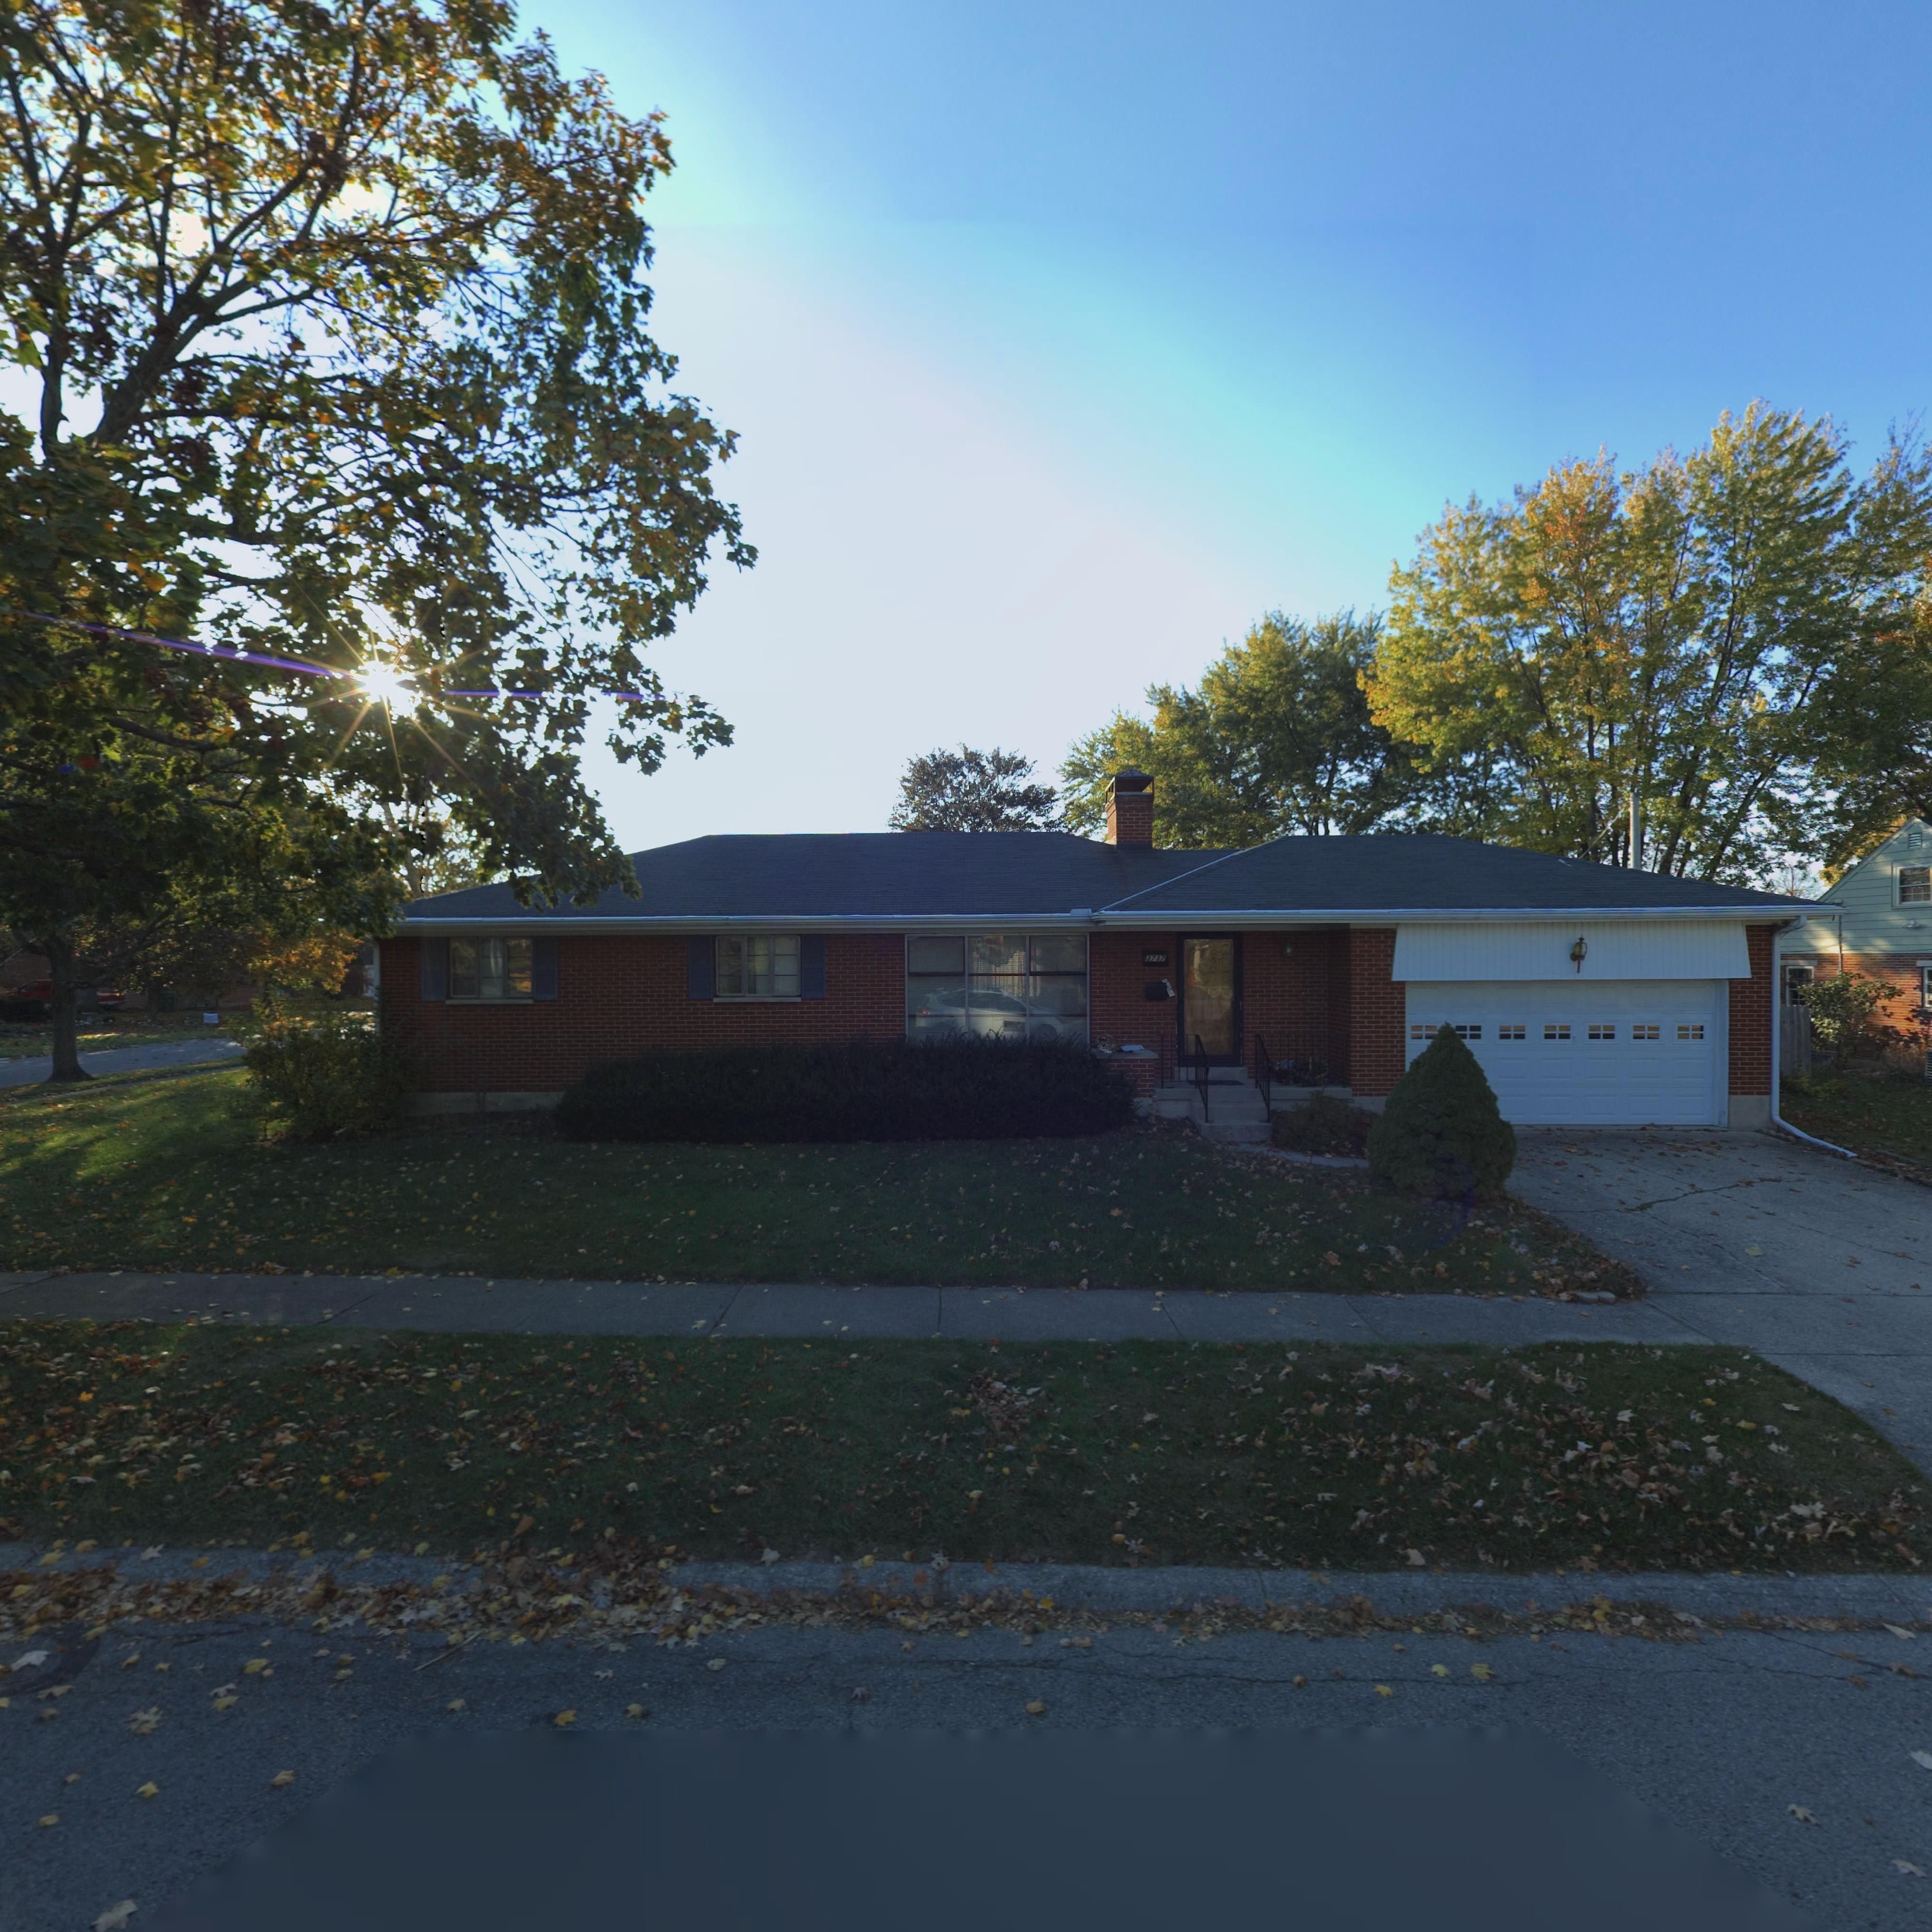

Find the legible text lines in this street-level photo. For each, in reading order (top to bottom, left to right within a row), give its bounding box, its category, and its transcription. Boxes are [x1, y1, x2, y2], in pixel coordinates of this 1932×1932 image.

[1145, 955, 1166, 962] StreetNumber: 3737